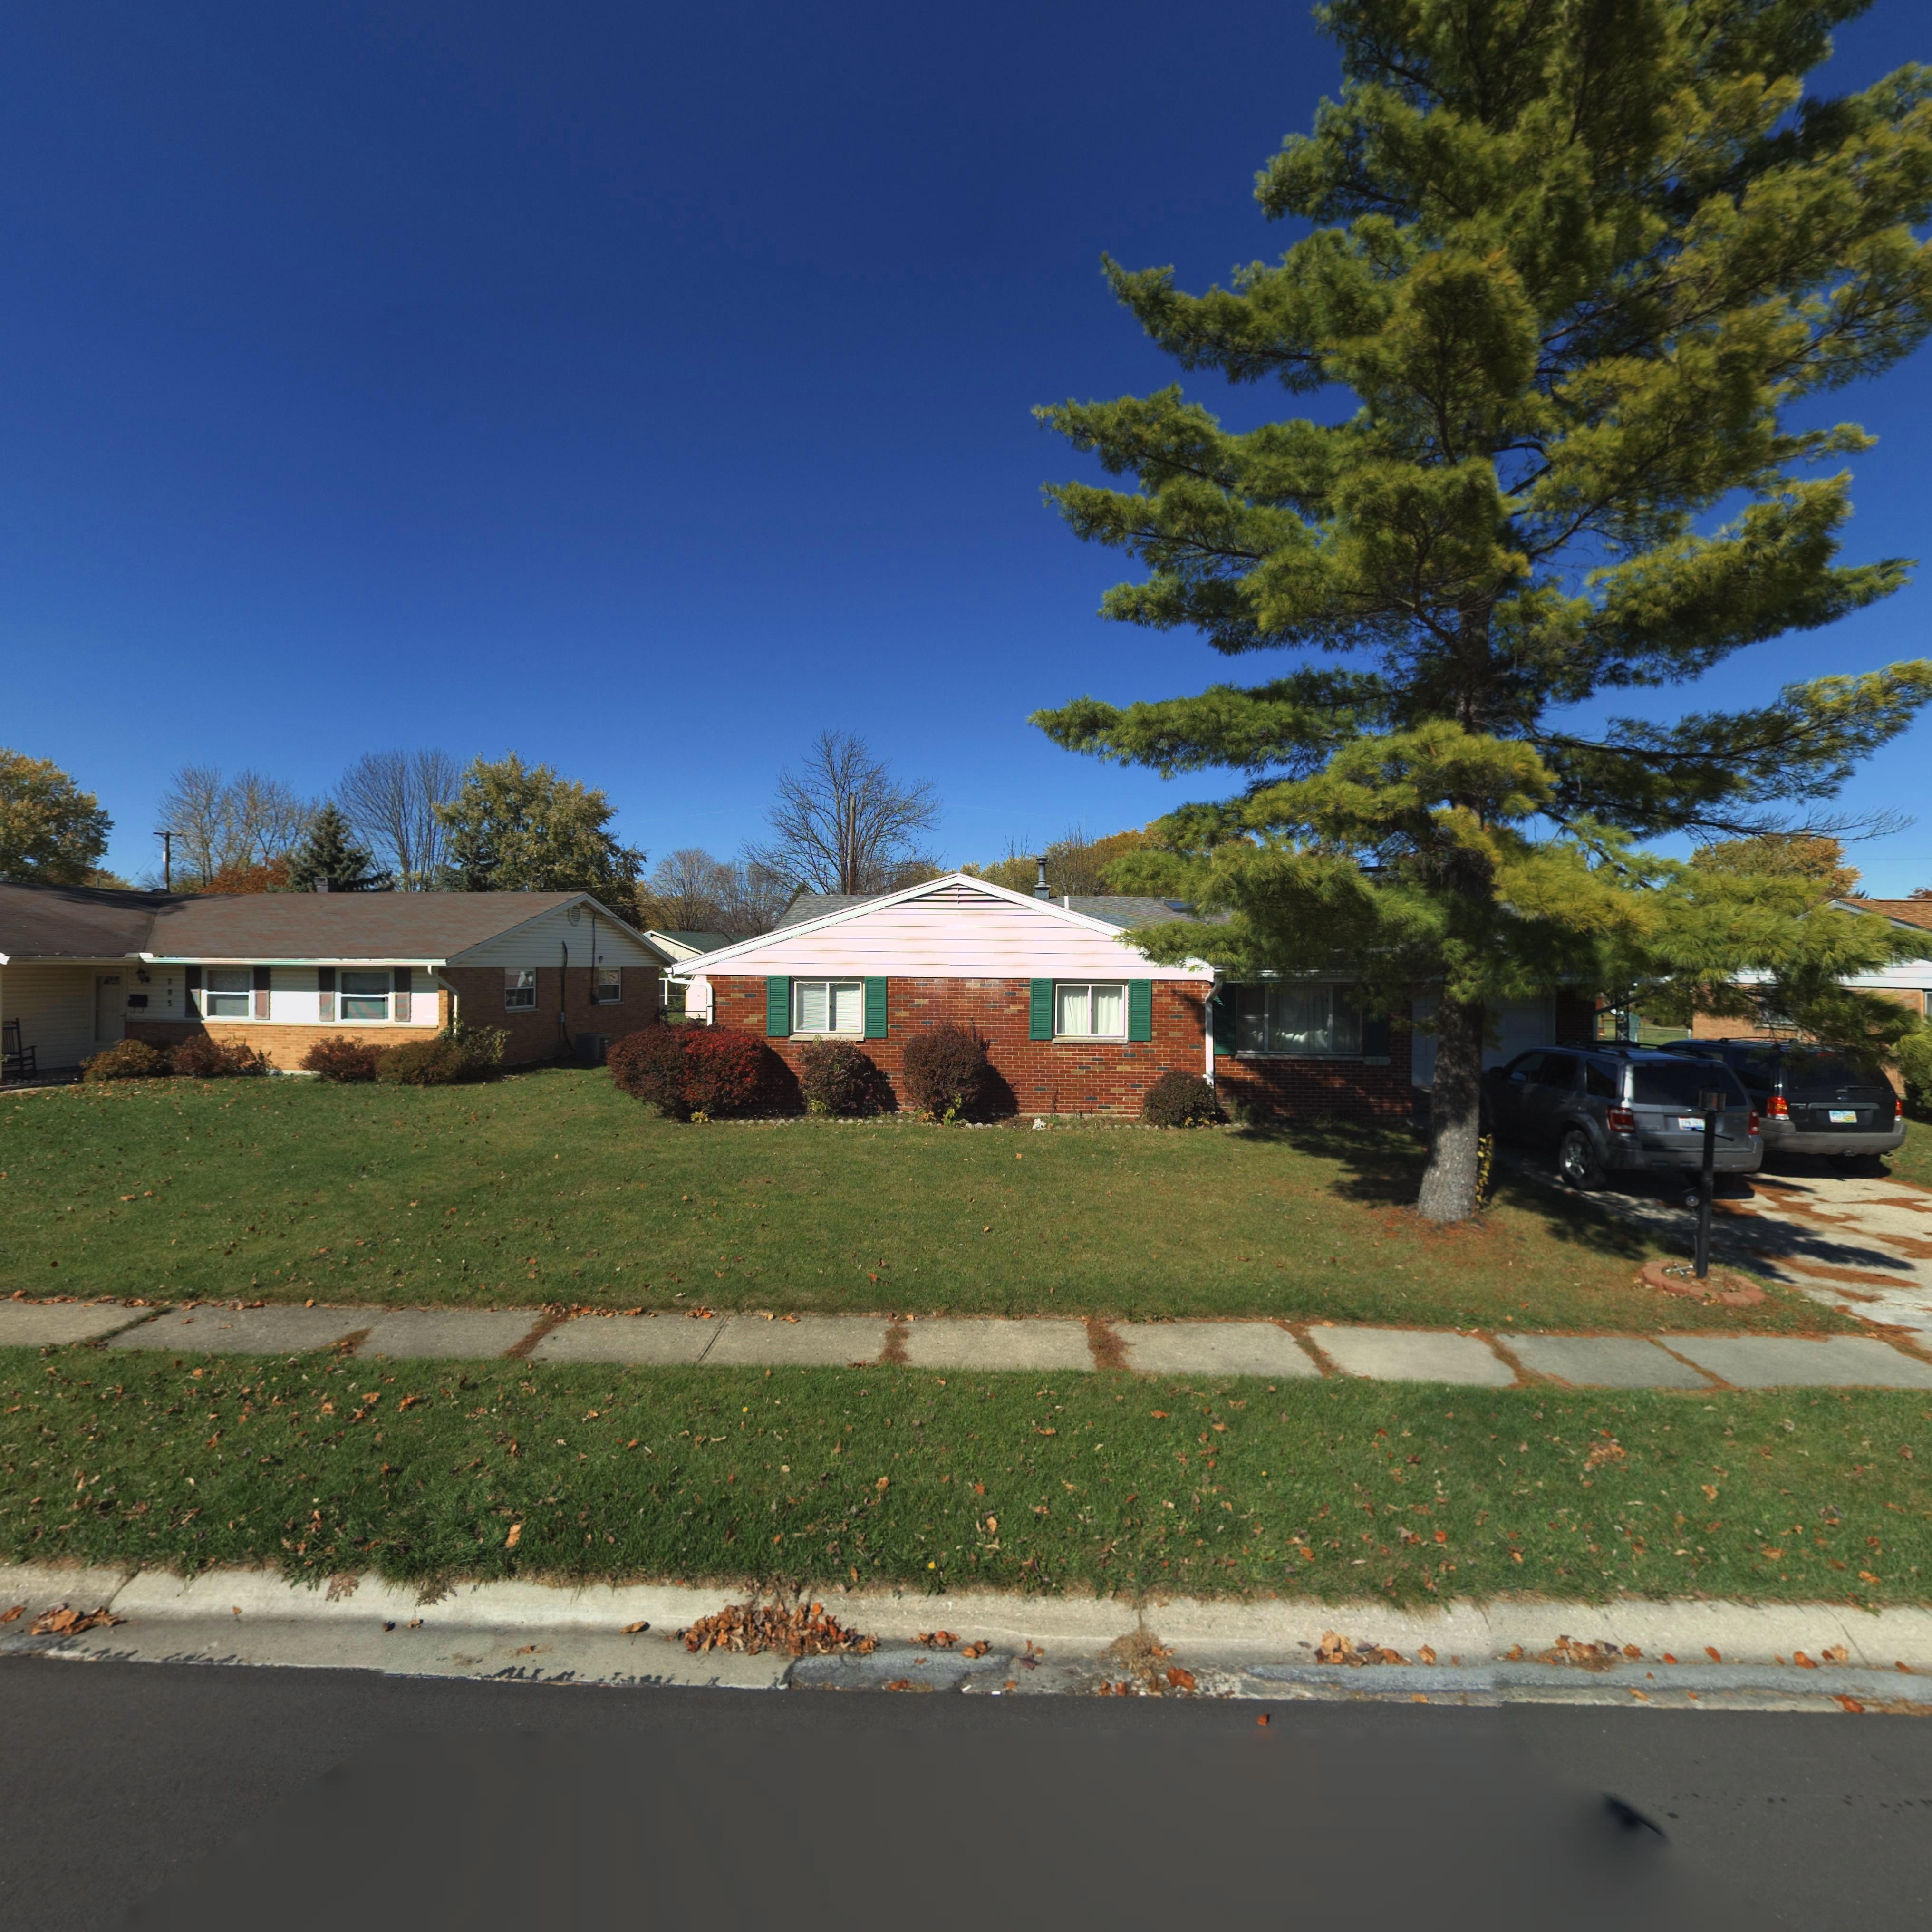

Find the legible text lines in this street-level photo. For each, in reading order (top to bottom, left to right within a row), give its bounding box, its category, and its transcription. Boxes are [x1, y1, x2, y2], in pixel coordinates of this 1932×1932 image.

[167, 977, 172, 1007] StreetNumber: 805
[1369, 1057, 1386, 1065] StreetNumber: 803